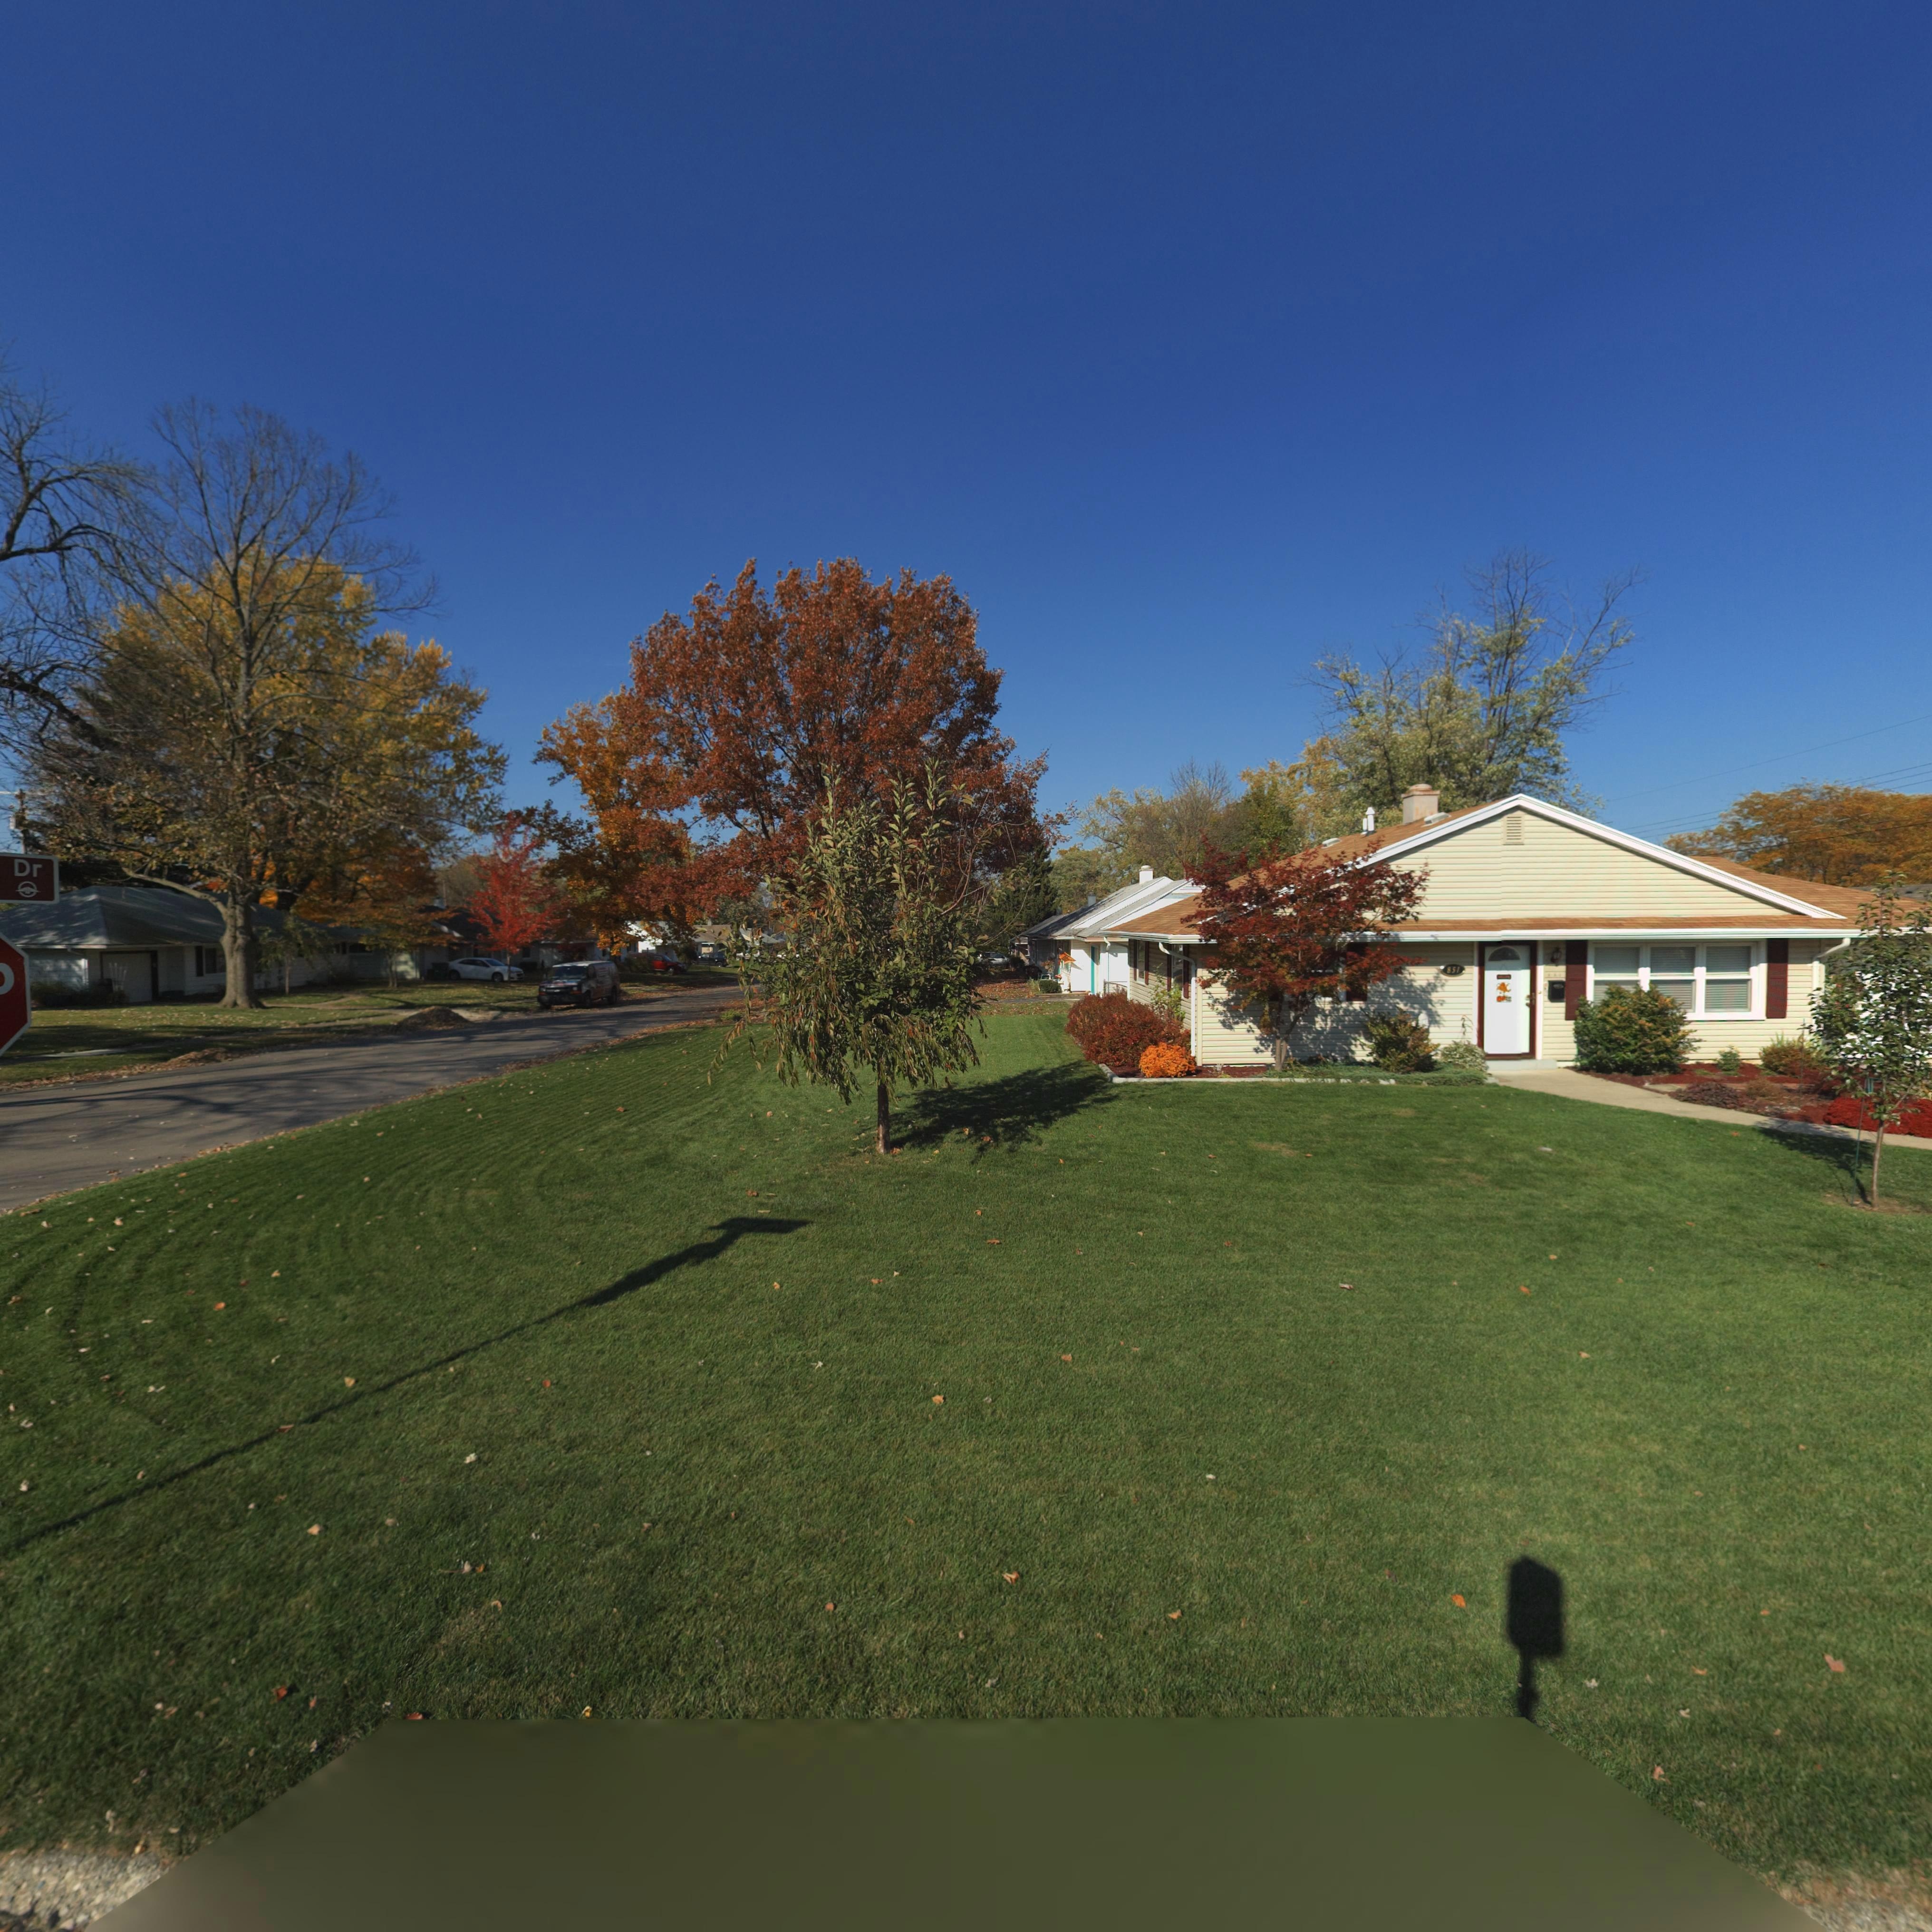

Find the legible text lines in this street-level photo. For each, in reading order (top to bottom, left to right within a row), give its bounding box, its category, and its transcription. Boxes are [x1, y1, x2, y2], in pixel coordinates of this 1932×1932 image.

[1446, 965, 1461, 975] StreetNumber: 851